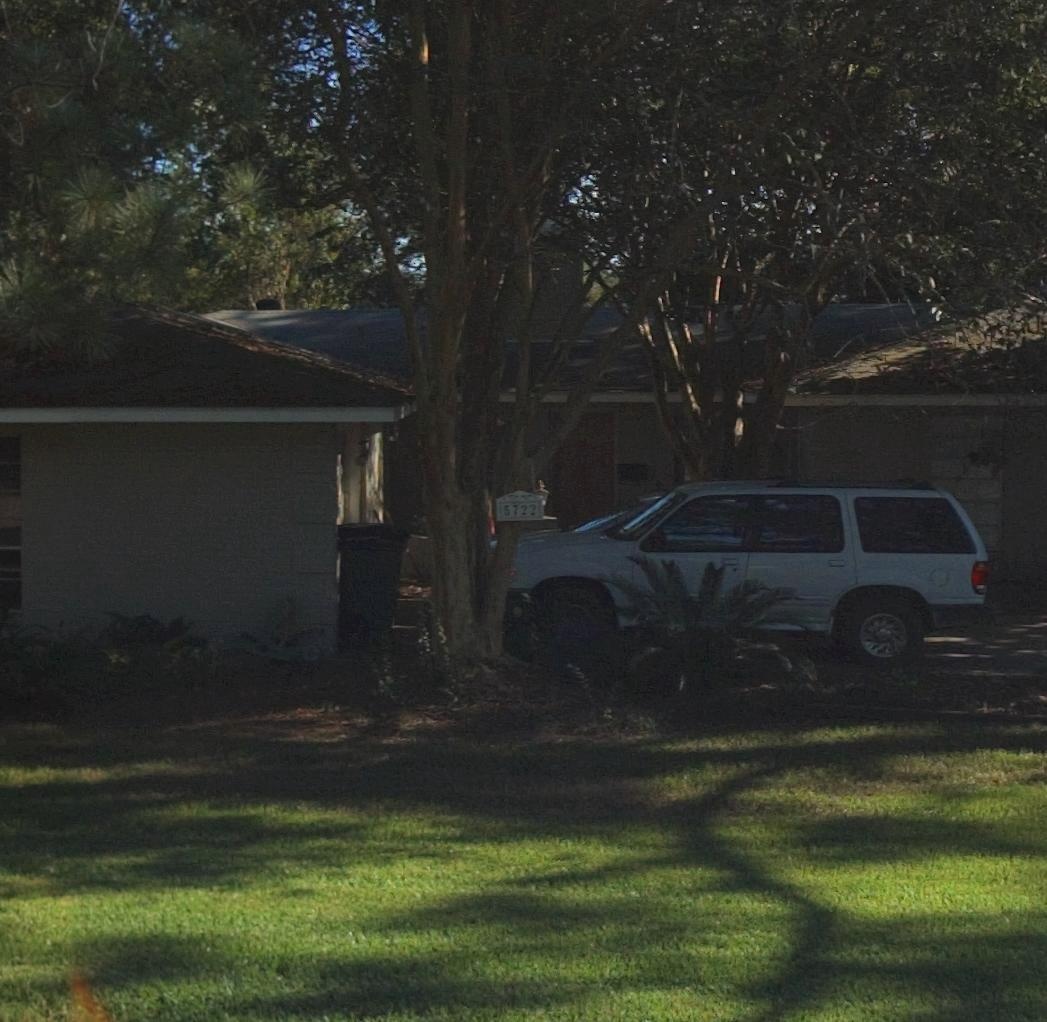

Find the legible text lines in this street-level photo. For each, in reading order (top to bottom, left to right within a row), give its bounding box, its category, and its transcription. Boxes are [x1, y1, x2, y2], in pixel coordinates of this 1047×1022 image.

[501, 501, 539, 518] StreetNumber: 5722